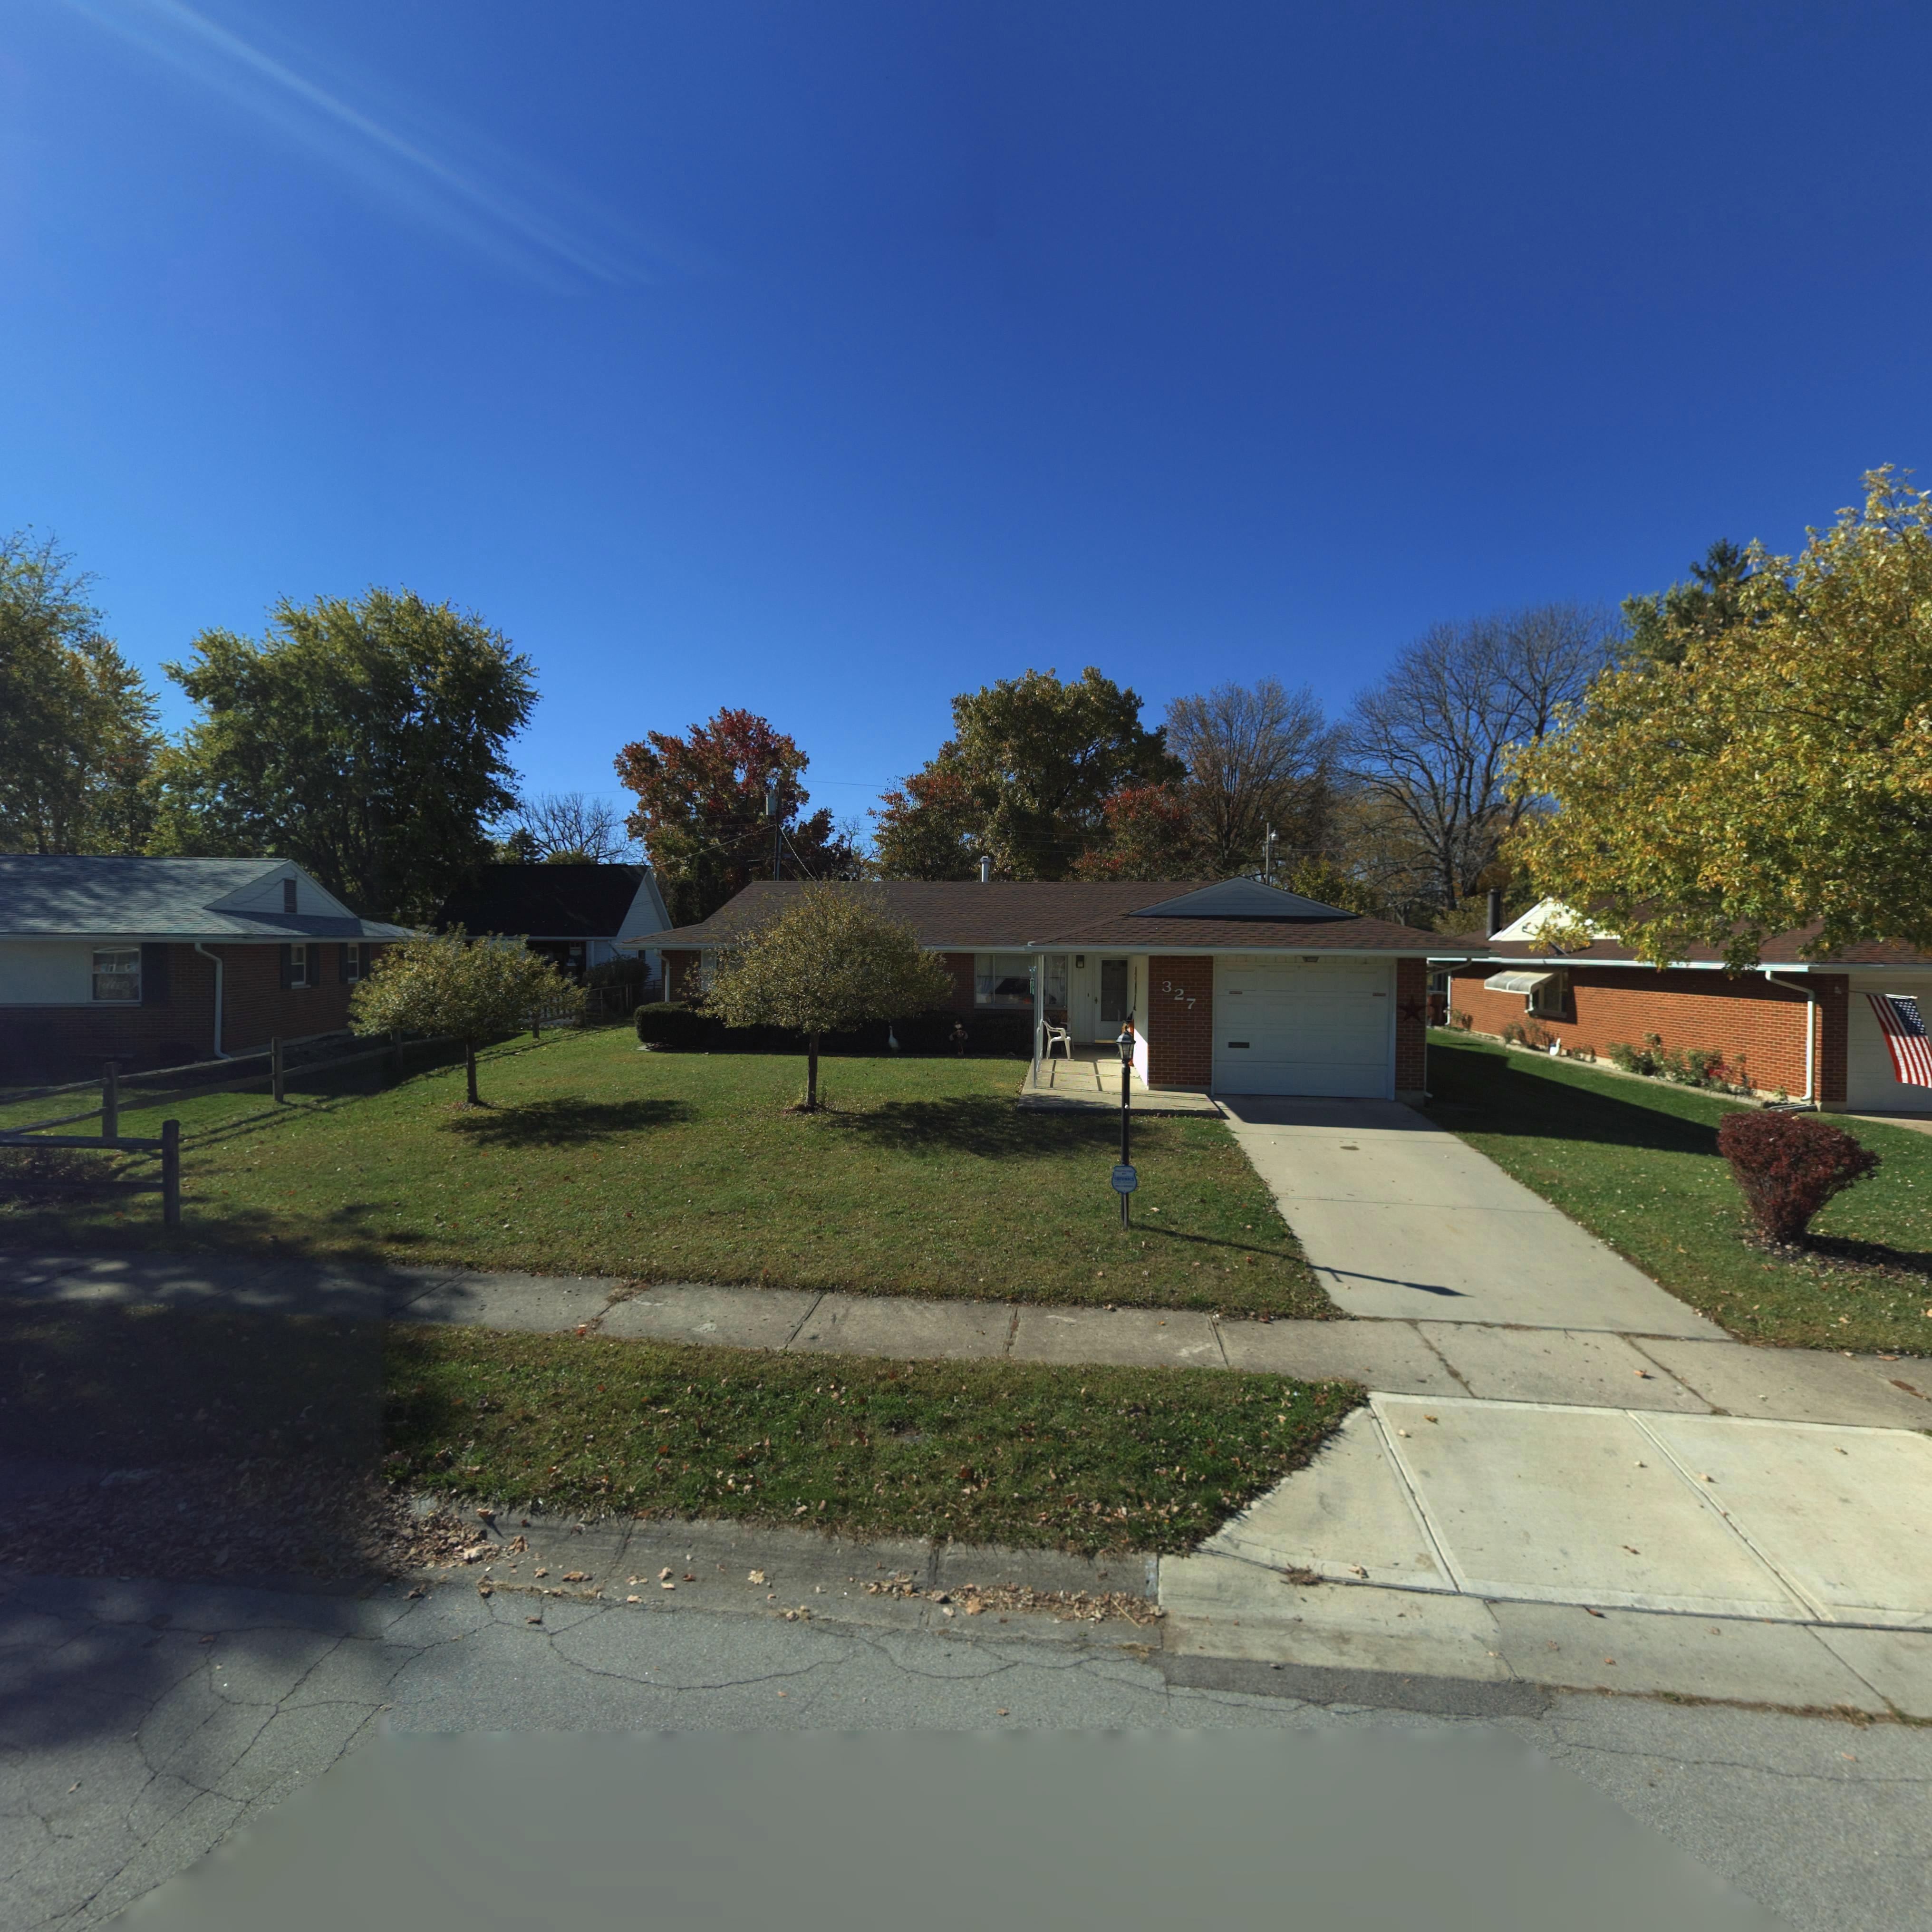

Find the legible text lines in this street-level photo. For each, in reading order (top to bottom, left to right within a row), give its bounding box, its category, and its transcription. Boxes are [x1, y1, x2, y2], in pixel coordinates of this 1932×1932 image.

[1160, 980, 1197, 1011] StreetNumber: 327